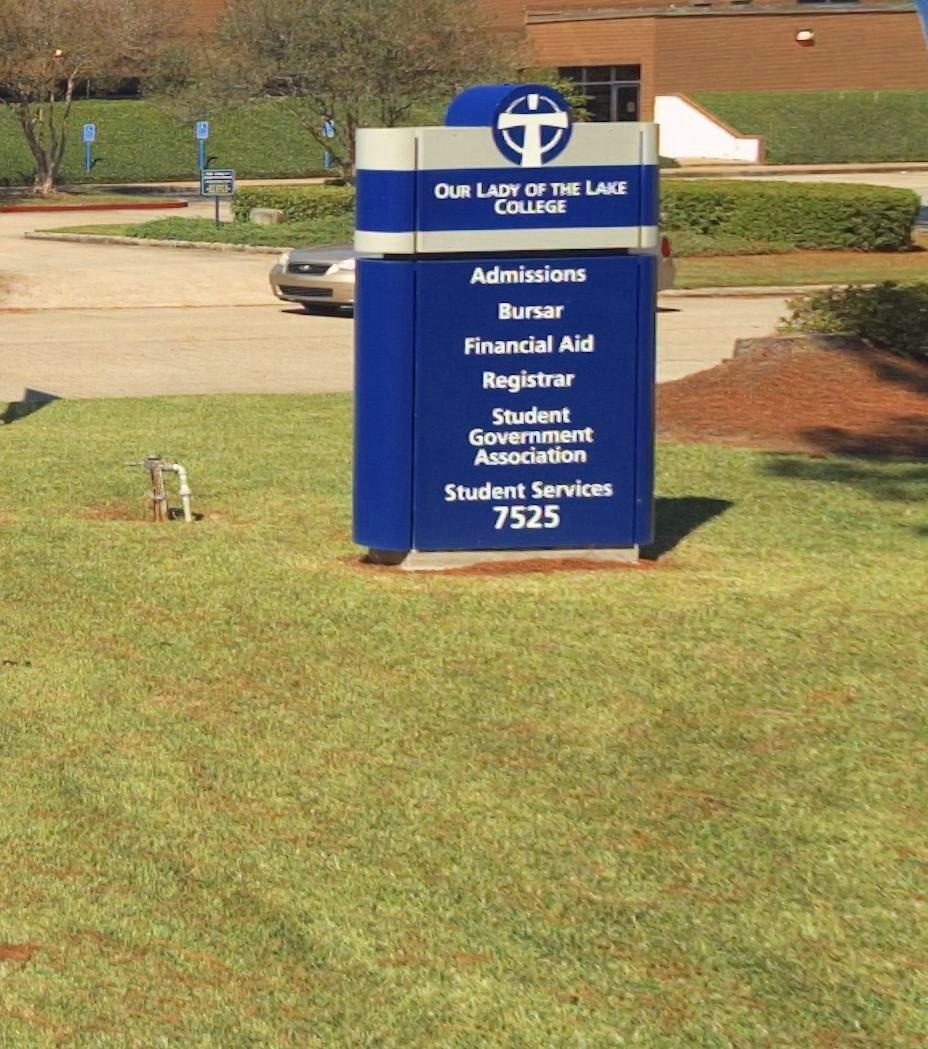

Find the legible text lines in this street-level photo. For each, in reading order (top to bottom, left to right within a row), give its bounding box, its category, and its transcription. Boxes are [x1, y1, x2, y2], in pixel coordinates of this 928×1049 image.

[431, 176, 631, 202] BusinessName: OUR LADY OF THE LAKE
[490, 196, 569, 218] BusinessName: COLLEGE
[465, 262, 590, 286] None: Admissions
[494, 299, 568, 323] None: Bursar
[462, 330, 598, 357] None: Financial Aid
[480, 367, 579, 396] None: Registrar
[489, 403, 574, 429] None: Student
[465, 423, 597, 449] None: Government
[469, 443, 590, 470] None: Association
[440, 476, 617, 506] None: Student Services
[488, 502, 563, 532] StreetNumber: 7525